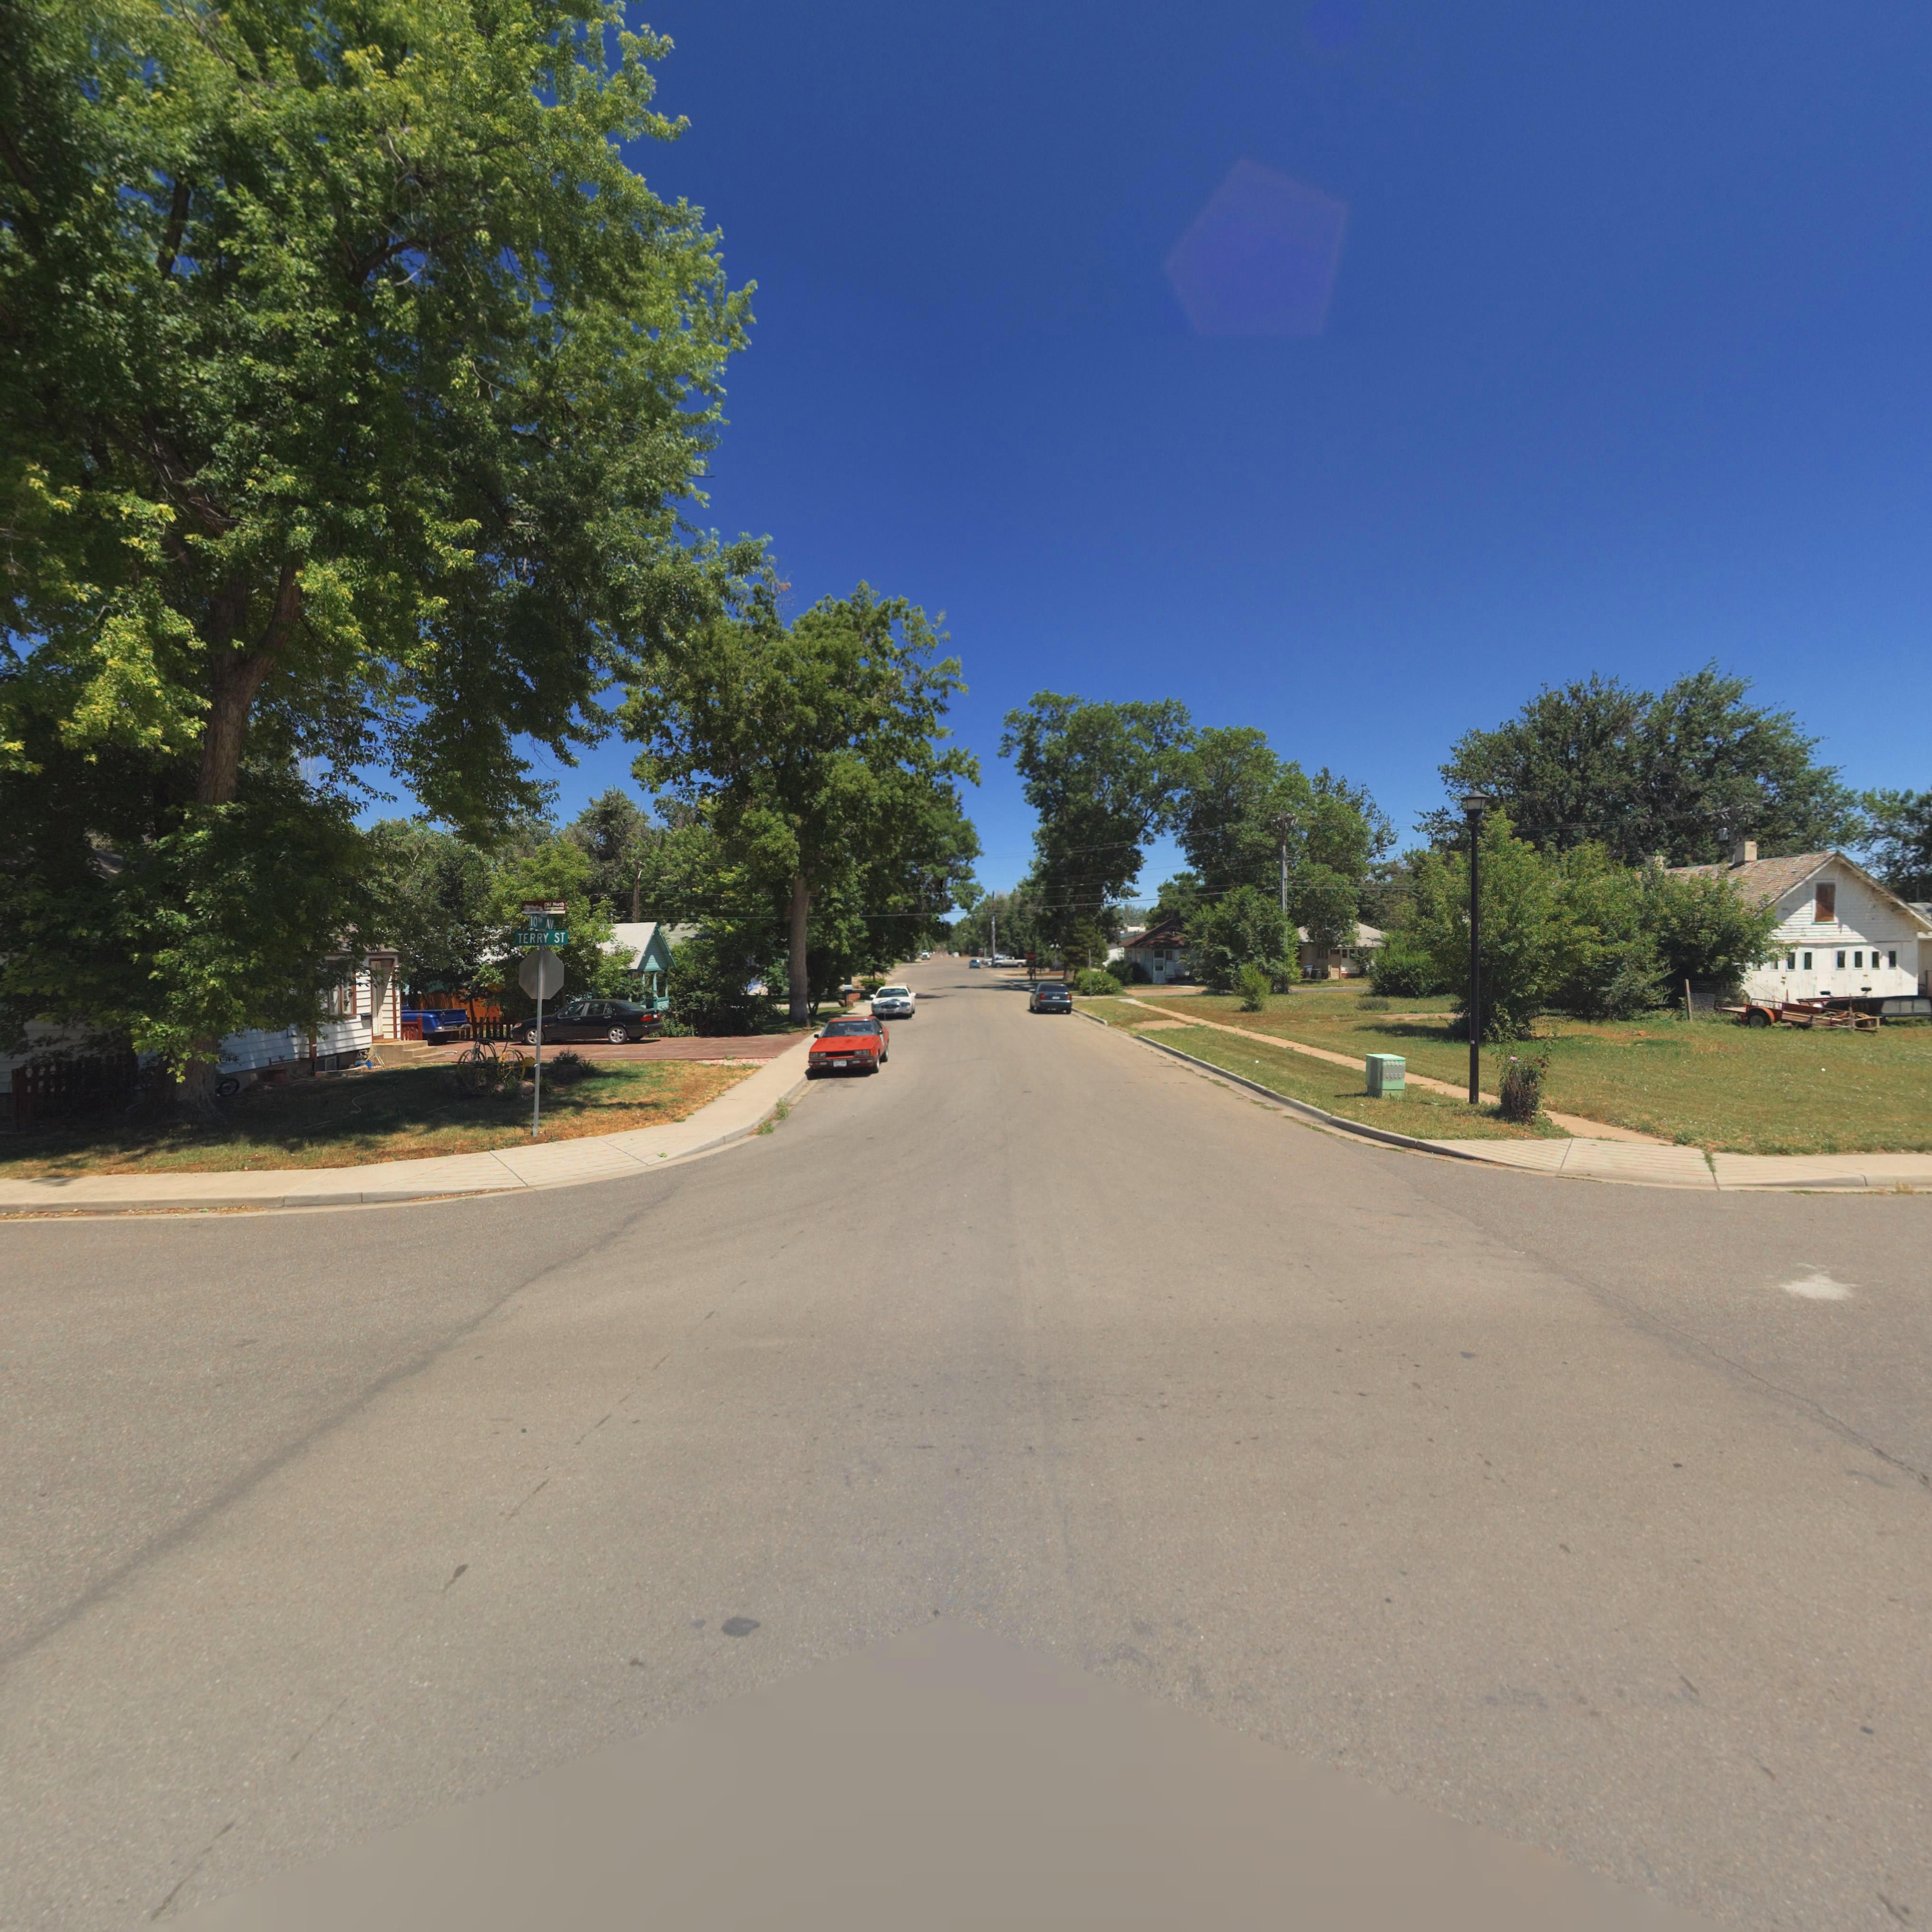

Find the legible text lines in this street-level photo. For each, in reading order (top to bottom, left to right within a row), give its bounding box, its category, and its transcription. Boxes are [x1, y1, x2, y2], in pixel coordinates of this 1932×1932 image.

[531, 915, 554, 930] StreetName: 10TH AV
[517, 932, 565, 944] StreetName: TERRY ST